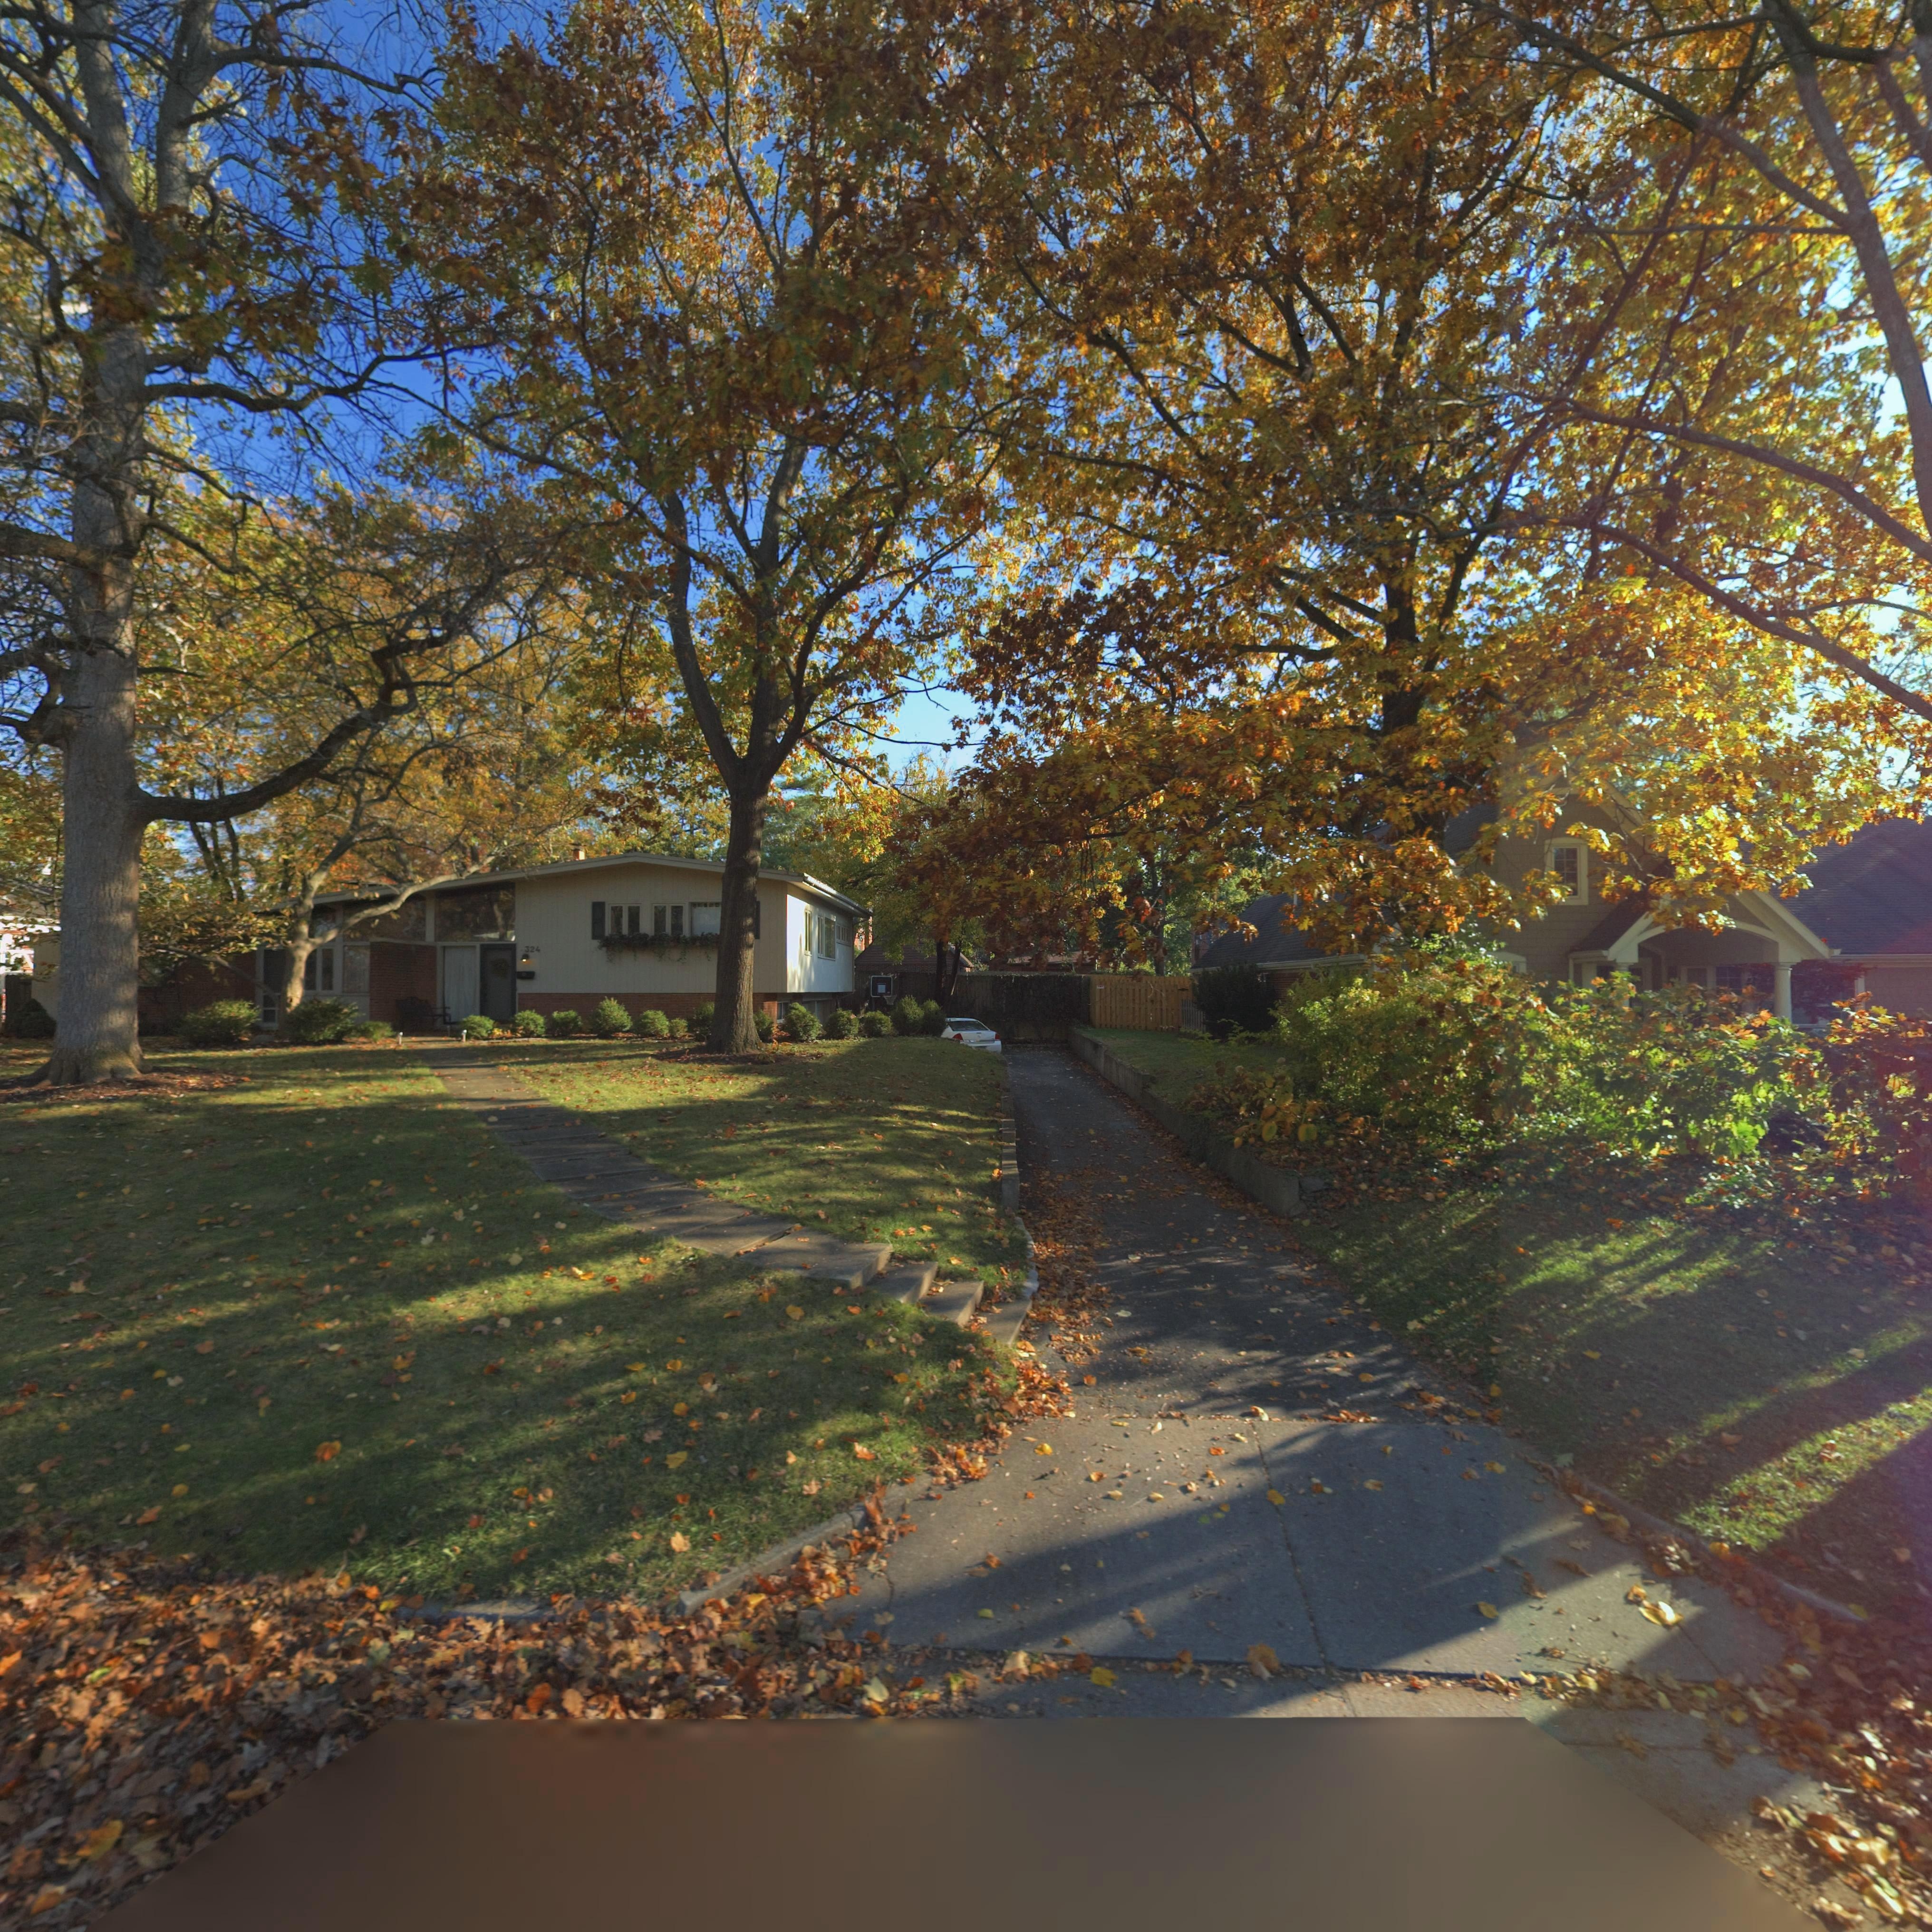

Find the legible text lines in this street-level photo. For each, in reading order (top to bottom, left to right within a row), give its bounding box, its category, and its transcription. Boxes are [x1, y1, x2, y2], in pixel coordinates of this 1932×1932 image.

[523, 945, 541, 954] StreetNumber: 324